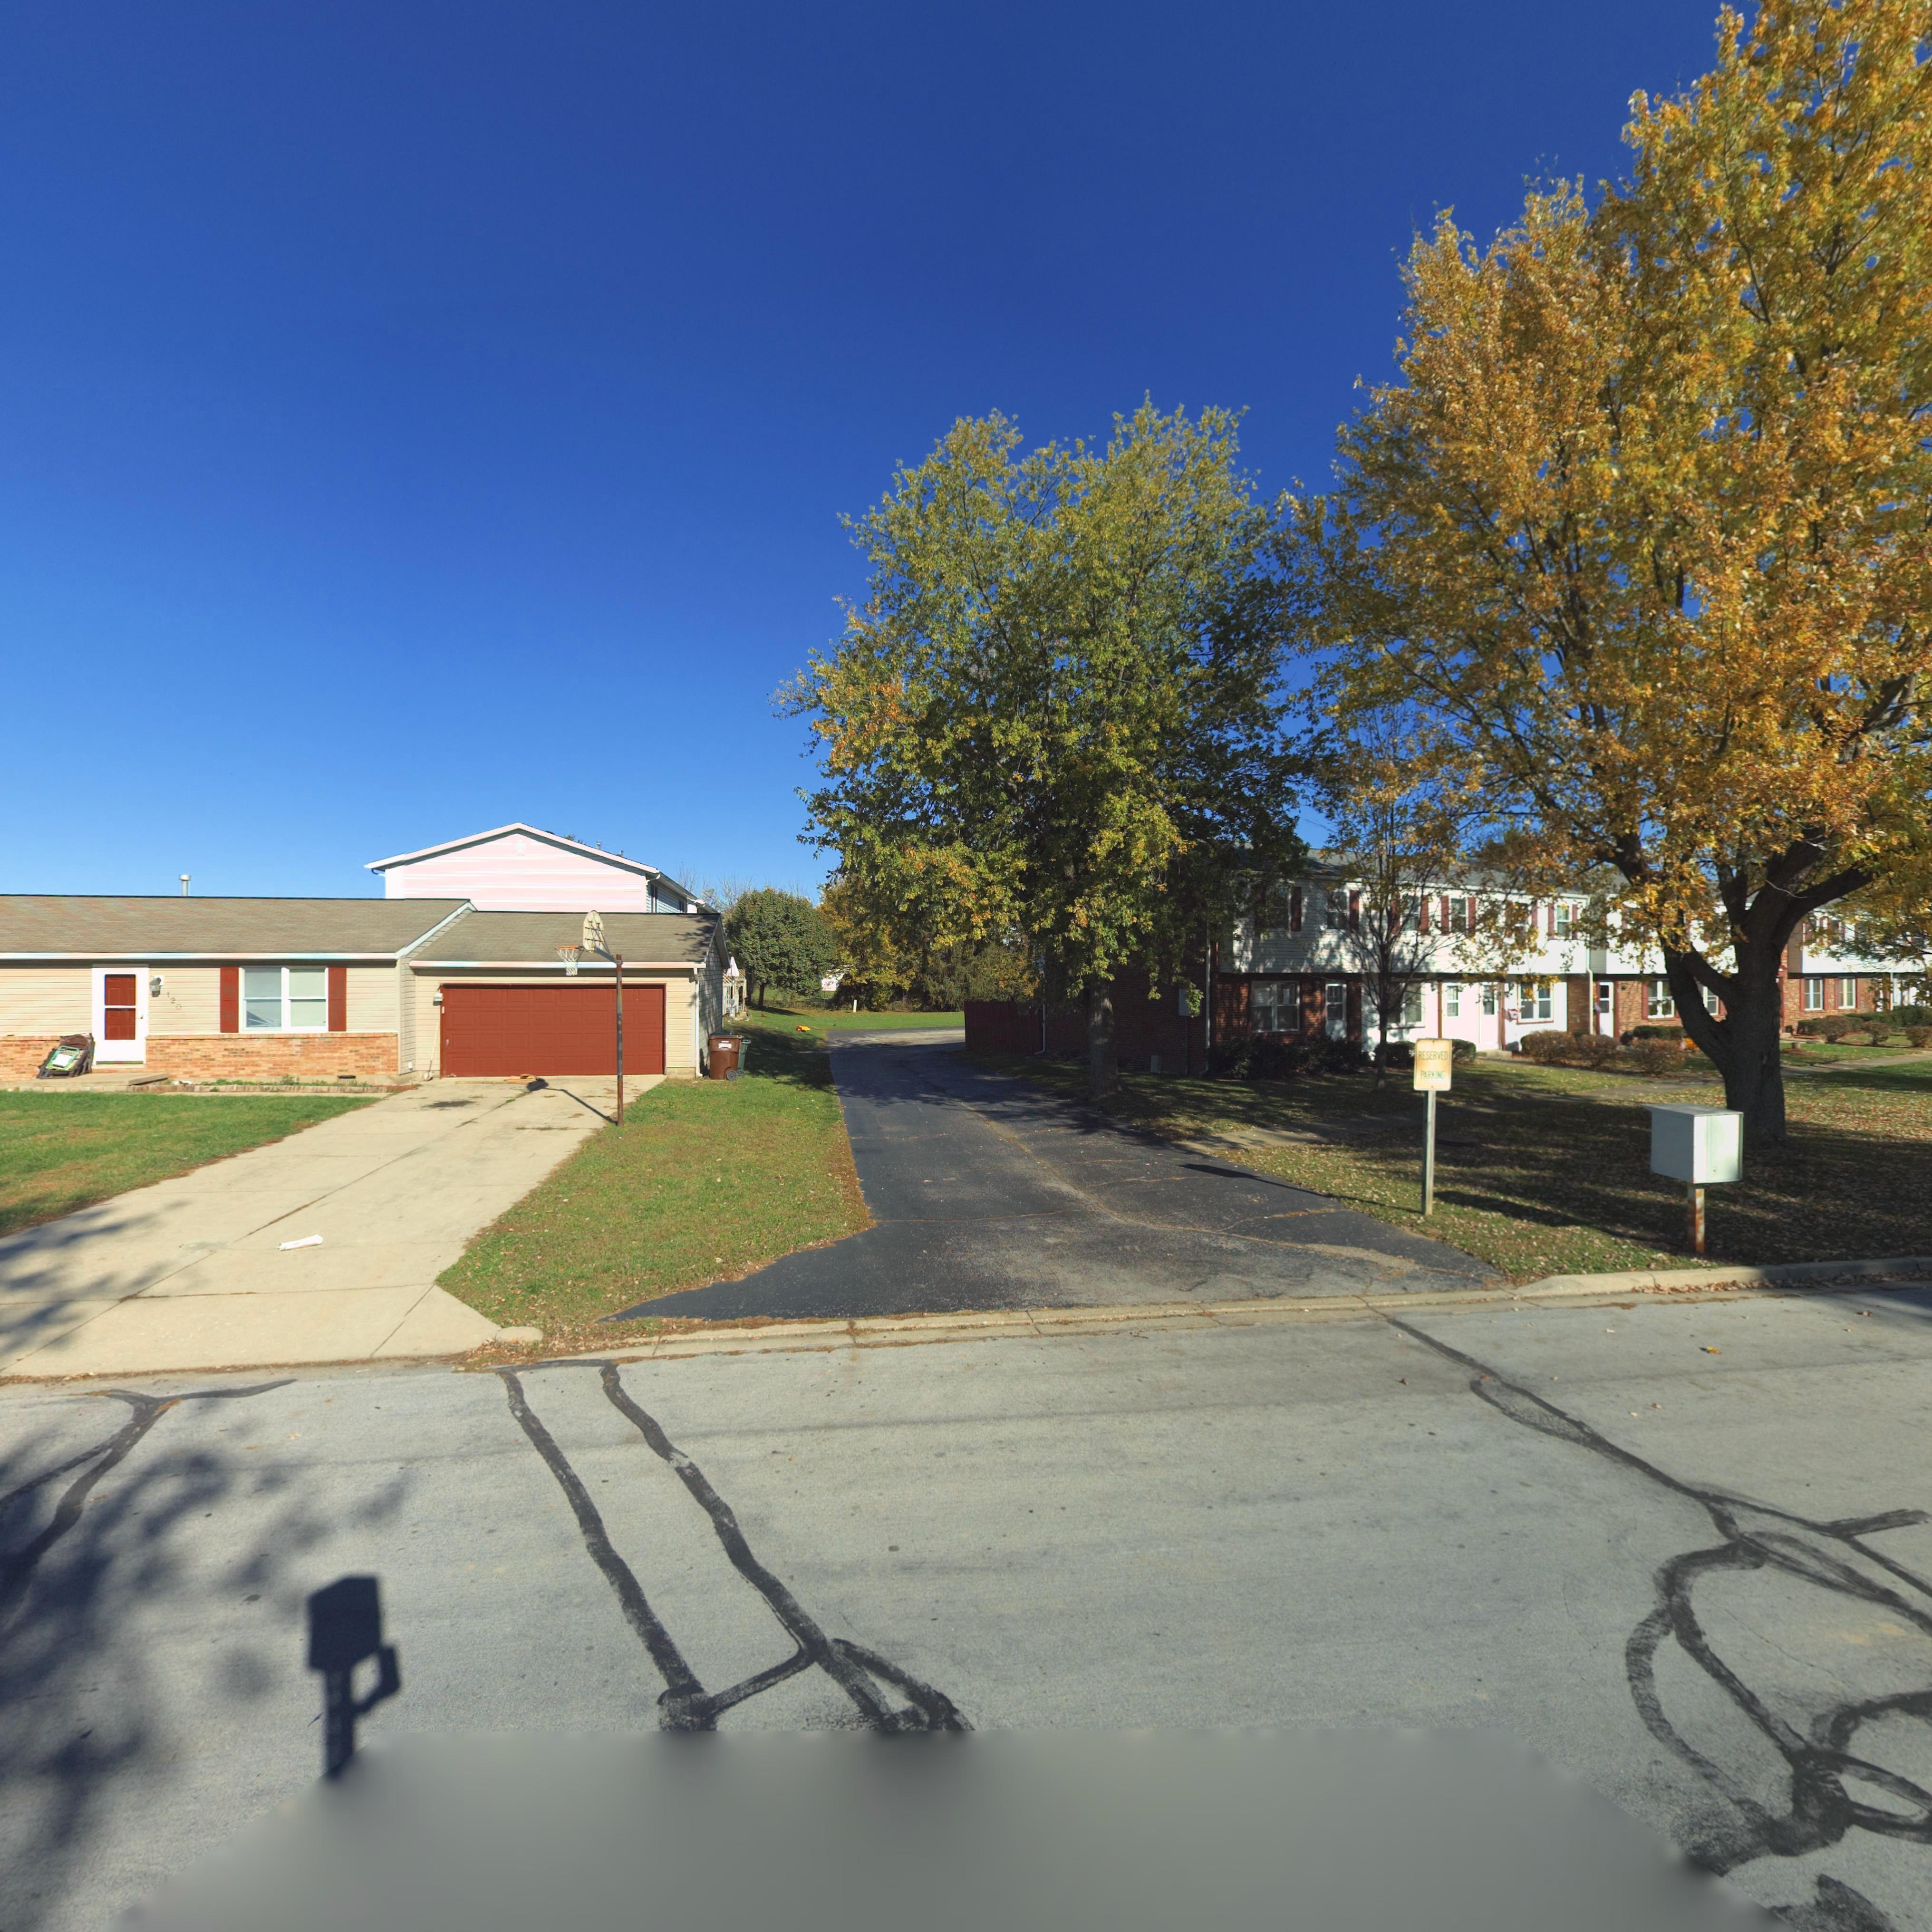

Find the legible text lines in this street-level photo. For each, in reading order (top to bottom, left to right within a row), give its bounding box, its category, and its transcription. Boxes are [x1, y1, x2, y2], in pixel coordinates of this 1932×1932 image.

[166, 990, 183, 1011] StreetNumber: 120